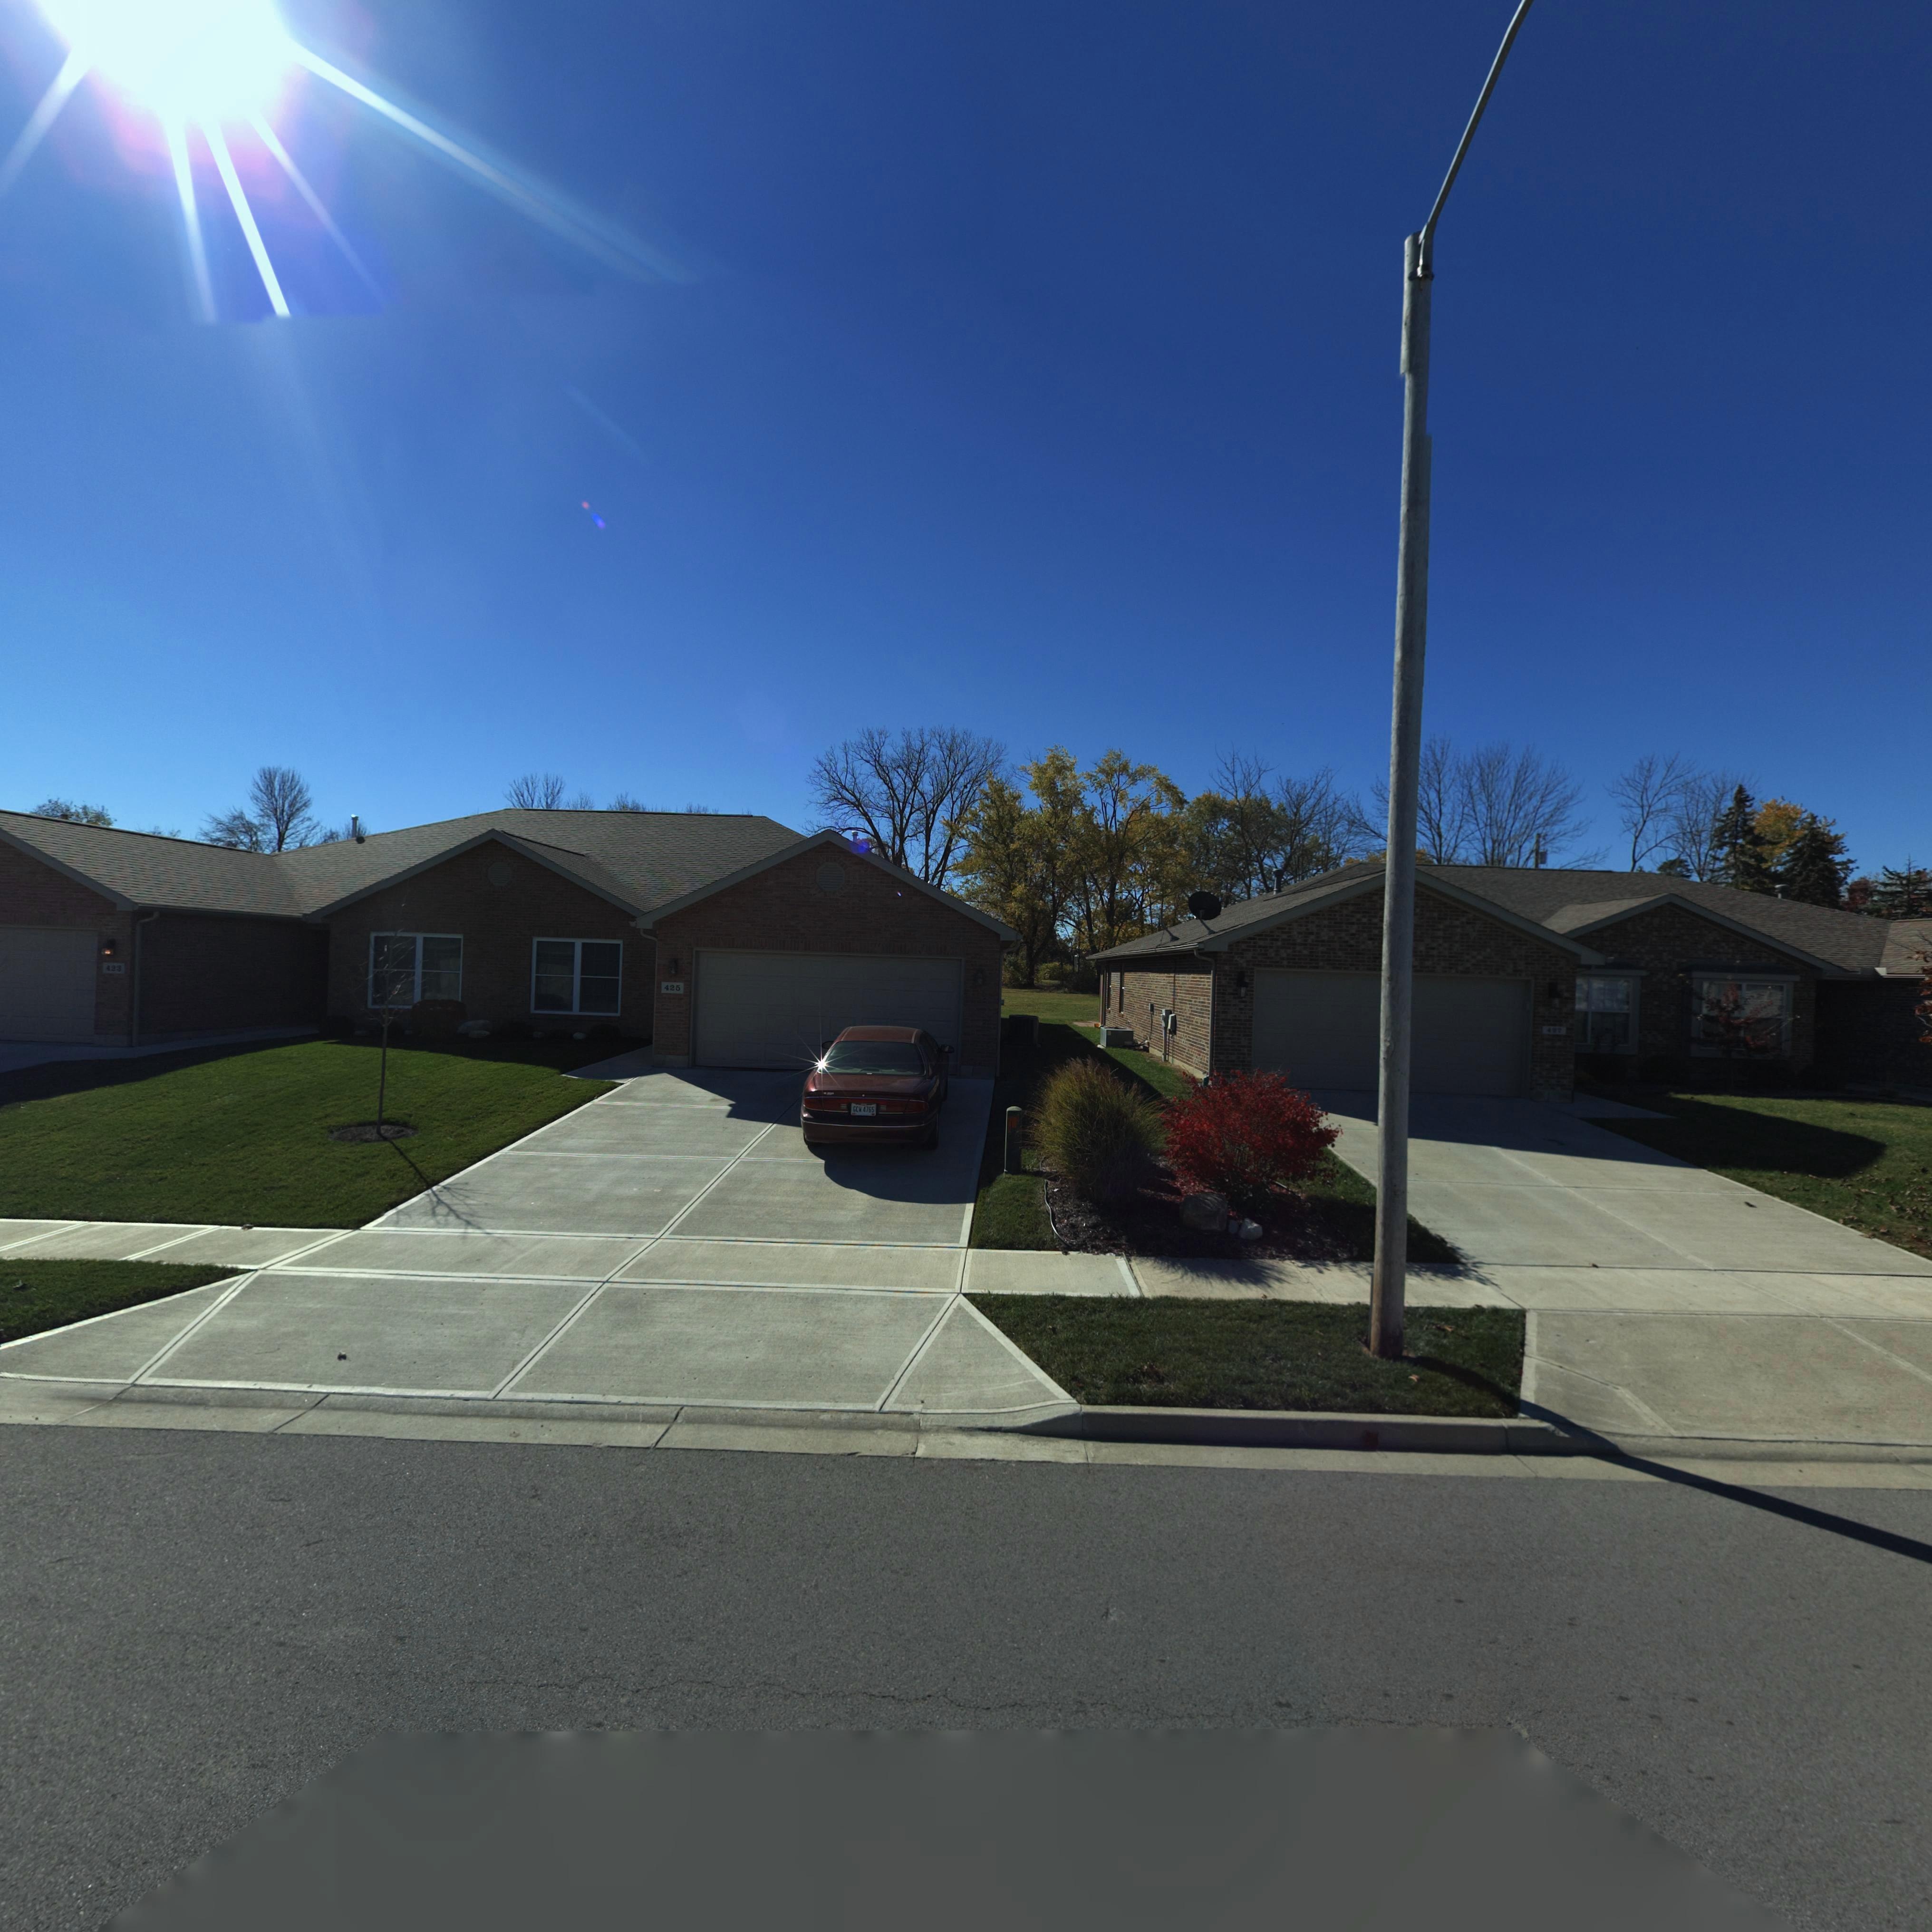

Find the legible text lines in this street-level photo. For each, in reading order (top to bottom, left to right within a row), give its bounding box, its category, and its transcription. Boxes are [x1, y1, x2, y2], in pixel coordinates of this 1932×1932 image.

[105, 964, 123, 973] StreetNumber: 423
[664, 984, 681, 992] StreetNumber: 425
[1546, 1026, 1563, 1034] StreetNumber: 427